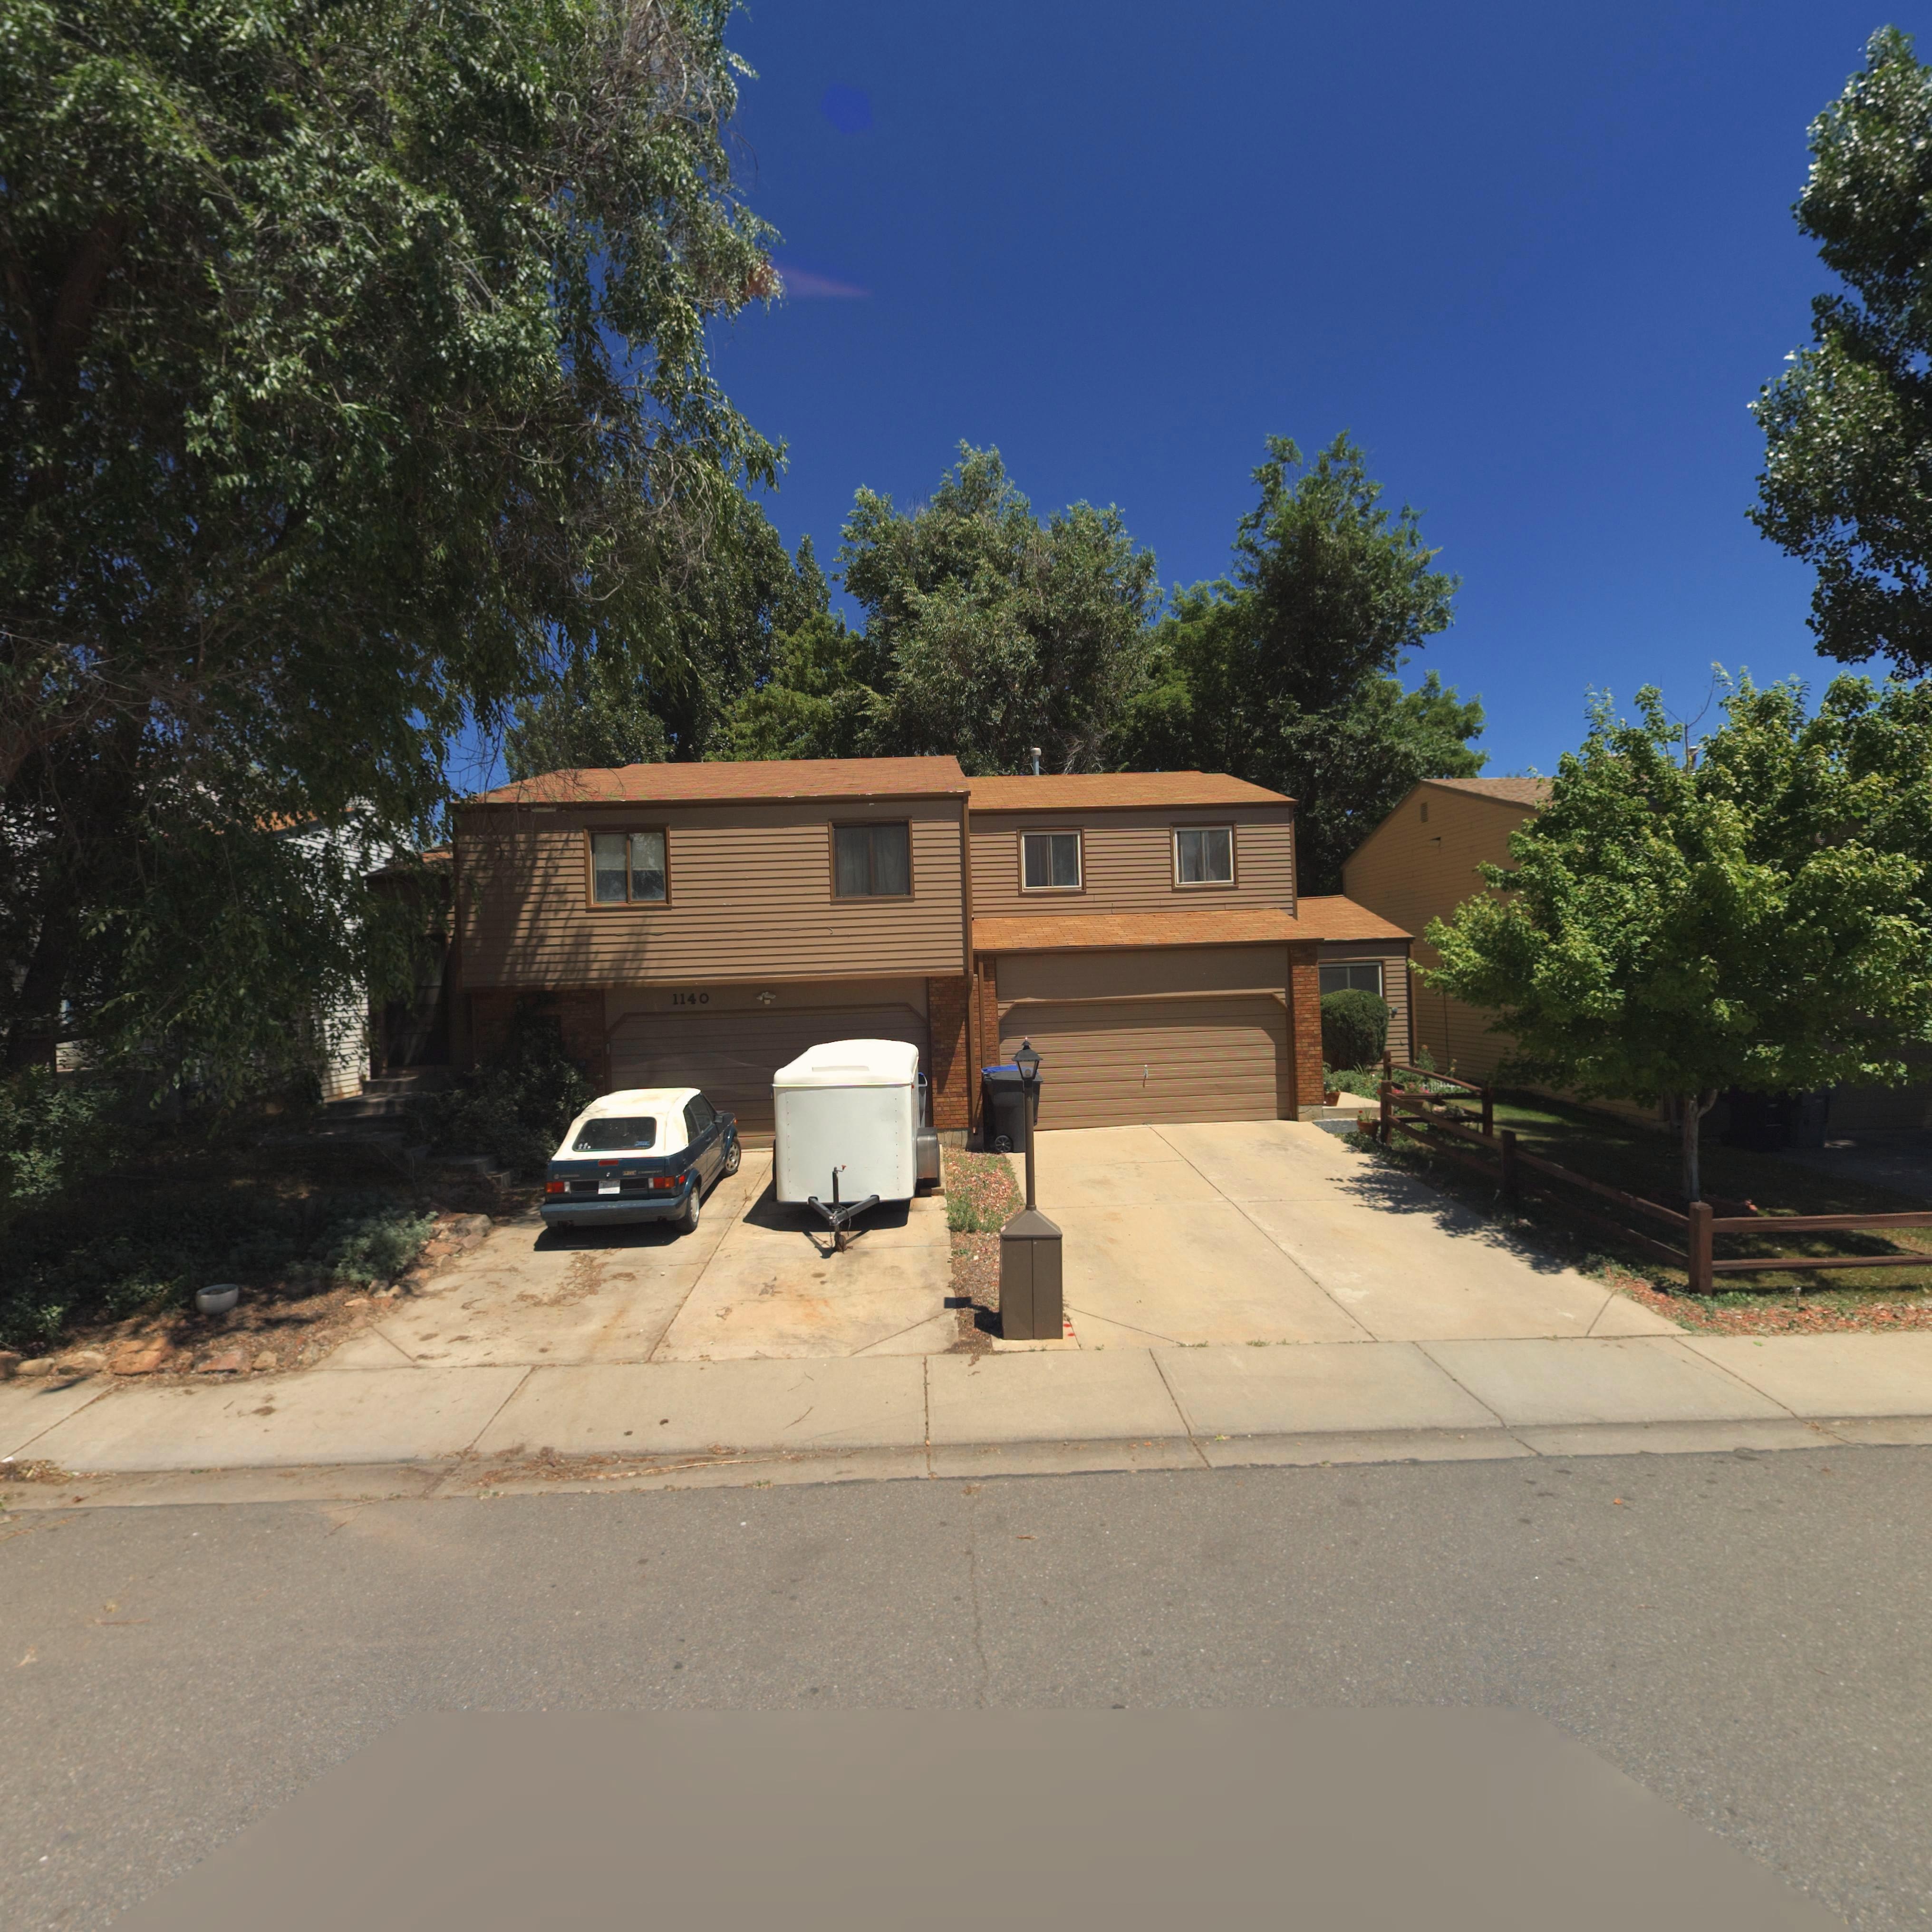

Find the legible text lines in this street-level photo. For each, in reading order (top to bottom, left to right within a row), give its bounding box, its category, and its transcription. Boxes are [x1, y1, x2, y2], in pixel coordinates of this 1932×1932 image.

[672, 993, 709, 1005] StreetNumber: 1140